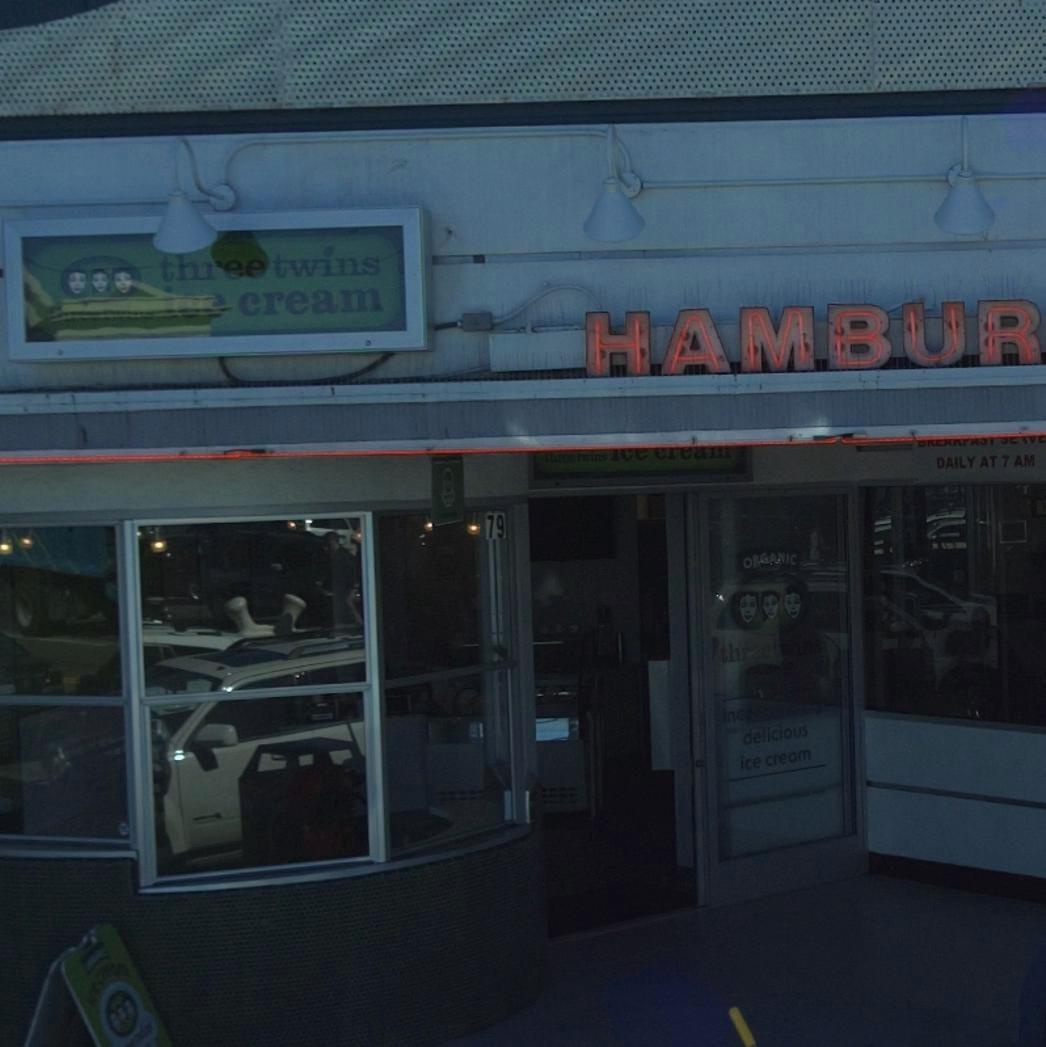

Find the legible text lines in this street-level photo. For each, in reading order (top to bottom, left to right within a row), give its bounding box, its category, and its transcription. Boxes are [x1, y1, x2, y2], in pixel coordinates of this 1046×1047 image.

[159, 244, 382, 285] BusinessName: three twins
[160, 285, 384, 321] BusinessName: ice cream
[582, 297, 1043, 382] BusinessName: HAMBUR
[543, 449, 607, 464] None: three twins
[934, 453, 1036, 471] None: DAILY AT 7 AM
[484, 513, 505, 539] StreetNumber: 79
[741, 551, 799, 571] None: ORGANIC
[718, 642, 771, 665] None: three
[721, 706, 746, 725] None: inc
[741, 722, 809, 748] None: delicious
[739, 747, 812, 774] None: ice cream